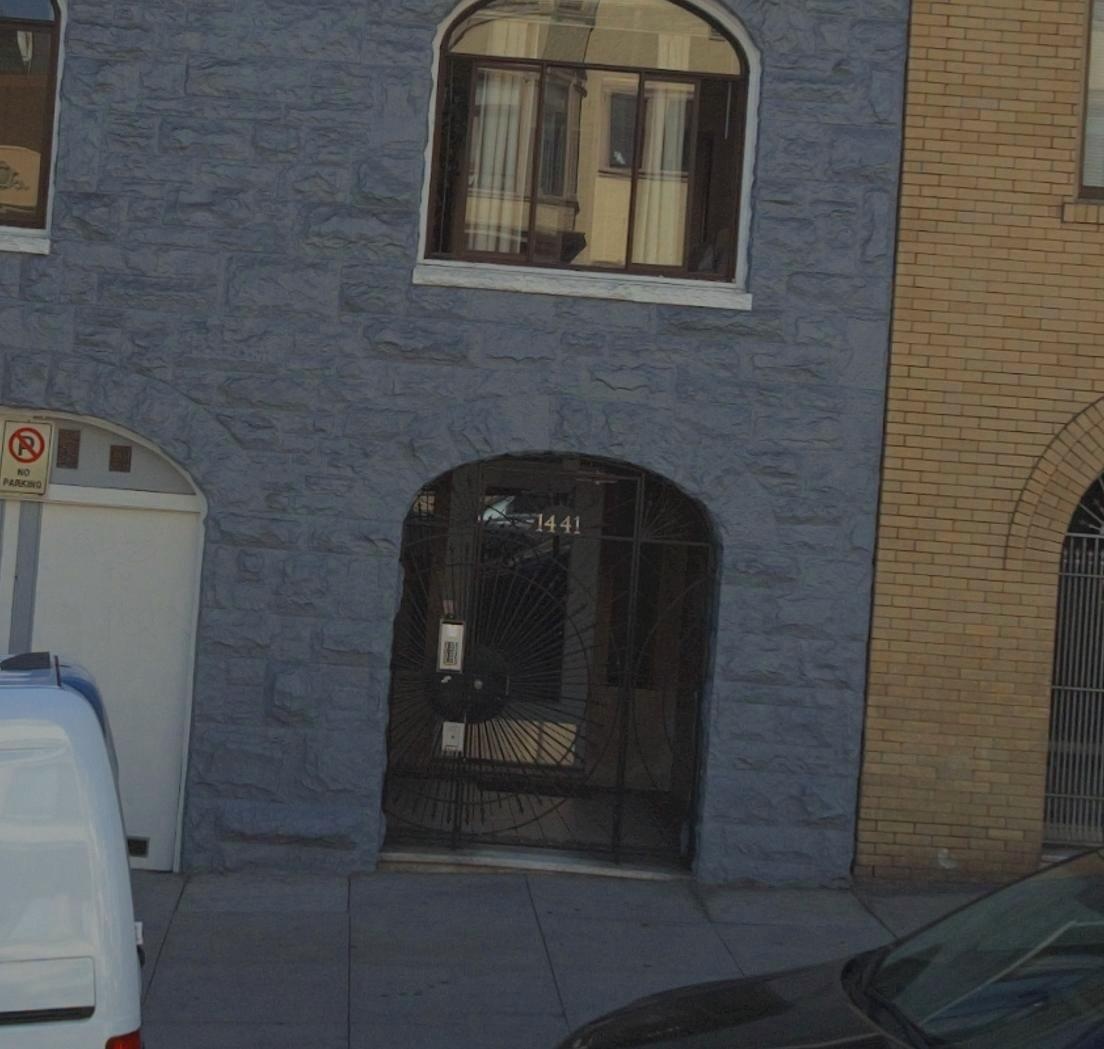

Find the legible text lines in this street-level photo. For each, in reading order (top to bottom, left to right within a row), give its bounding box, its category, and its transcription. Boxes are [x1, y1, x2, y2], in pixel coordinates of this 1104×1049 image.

[16, 468, 32, 478] None: NO
[1, 475, 43, 491] None: PARK***
[534, 512, 582, 536] StreetNumber: 1441